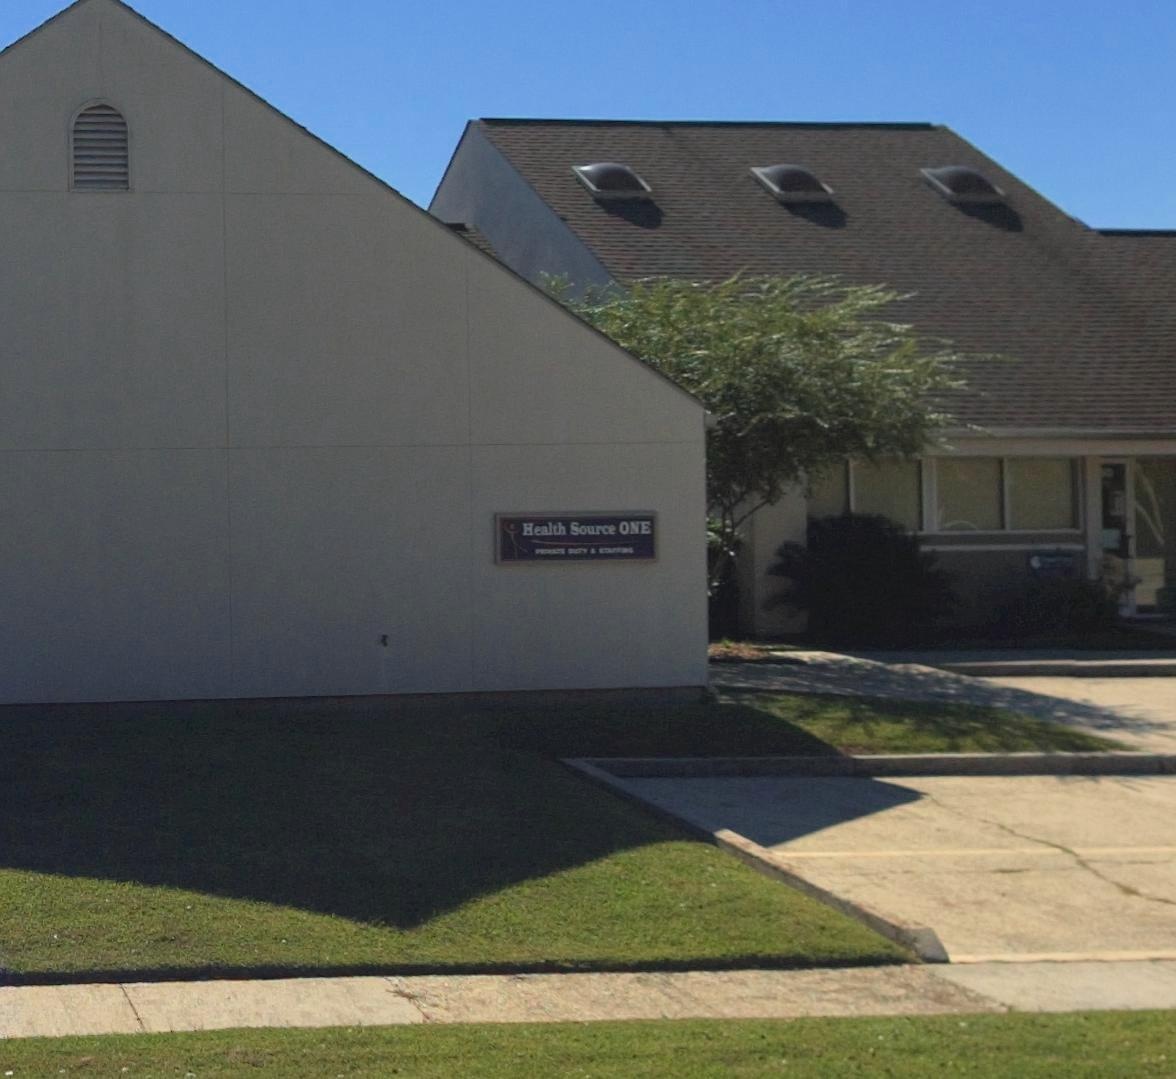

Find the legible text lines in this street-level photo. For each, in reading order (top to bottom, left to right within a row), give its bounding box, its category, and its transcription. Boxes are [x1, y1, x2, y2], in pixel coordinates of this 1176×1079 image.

[520, 519, 653, 538] BusinessName: Health Source ONE